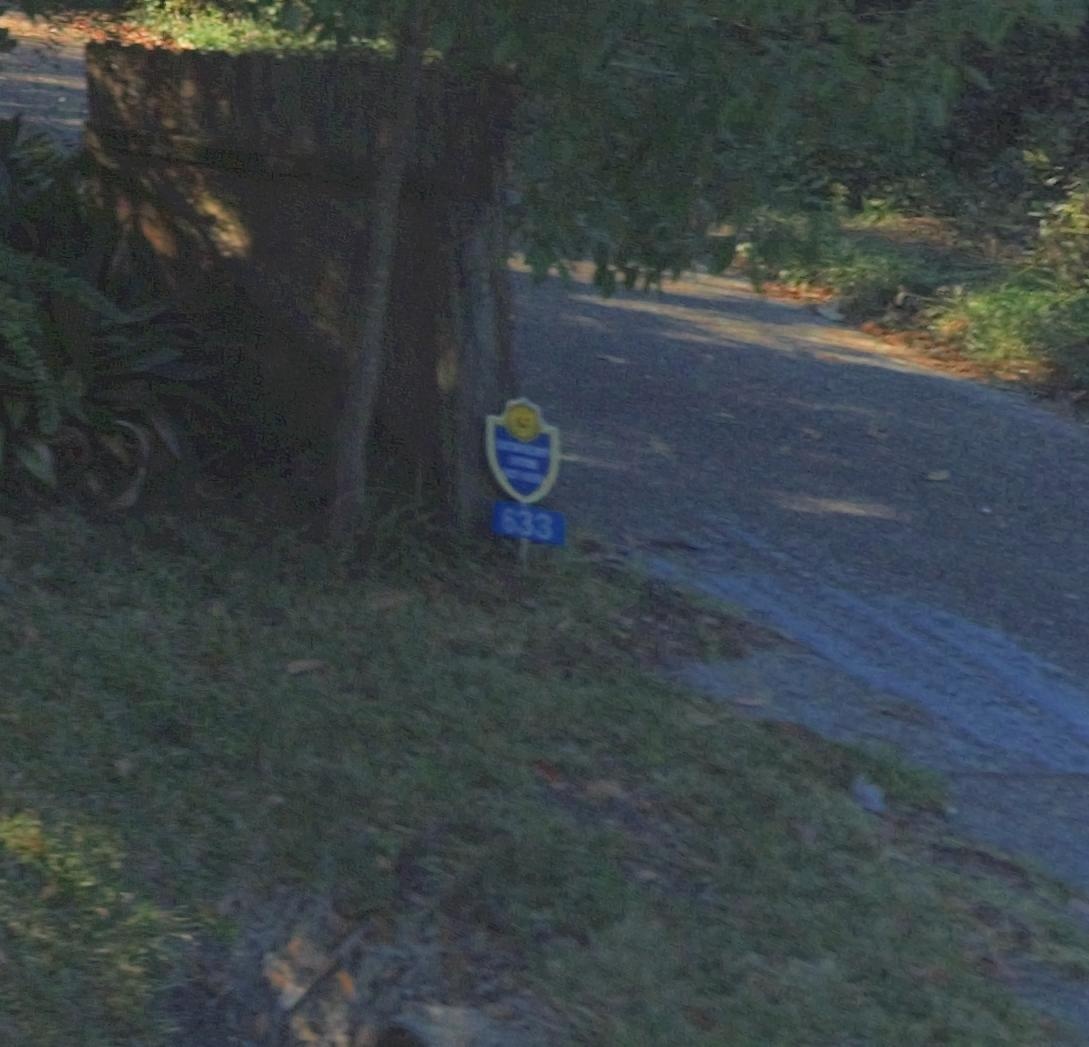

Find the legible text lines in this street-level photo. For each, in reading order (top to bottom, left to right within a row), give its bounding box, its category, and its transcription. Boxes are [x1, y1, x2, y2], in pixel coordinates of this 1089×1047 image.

[496, 502, 557, 545] StreetNumber: 633